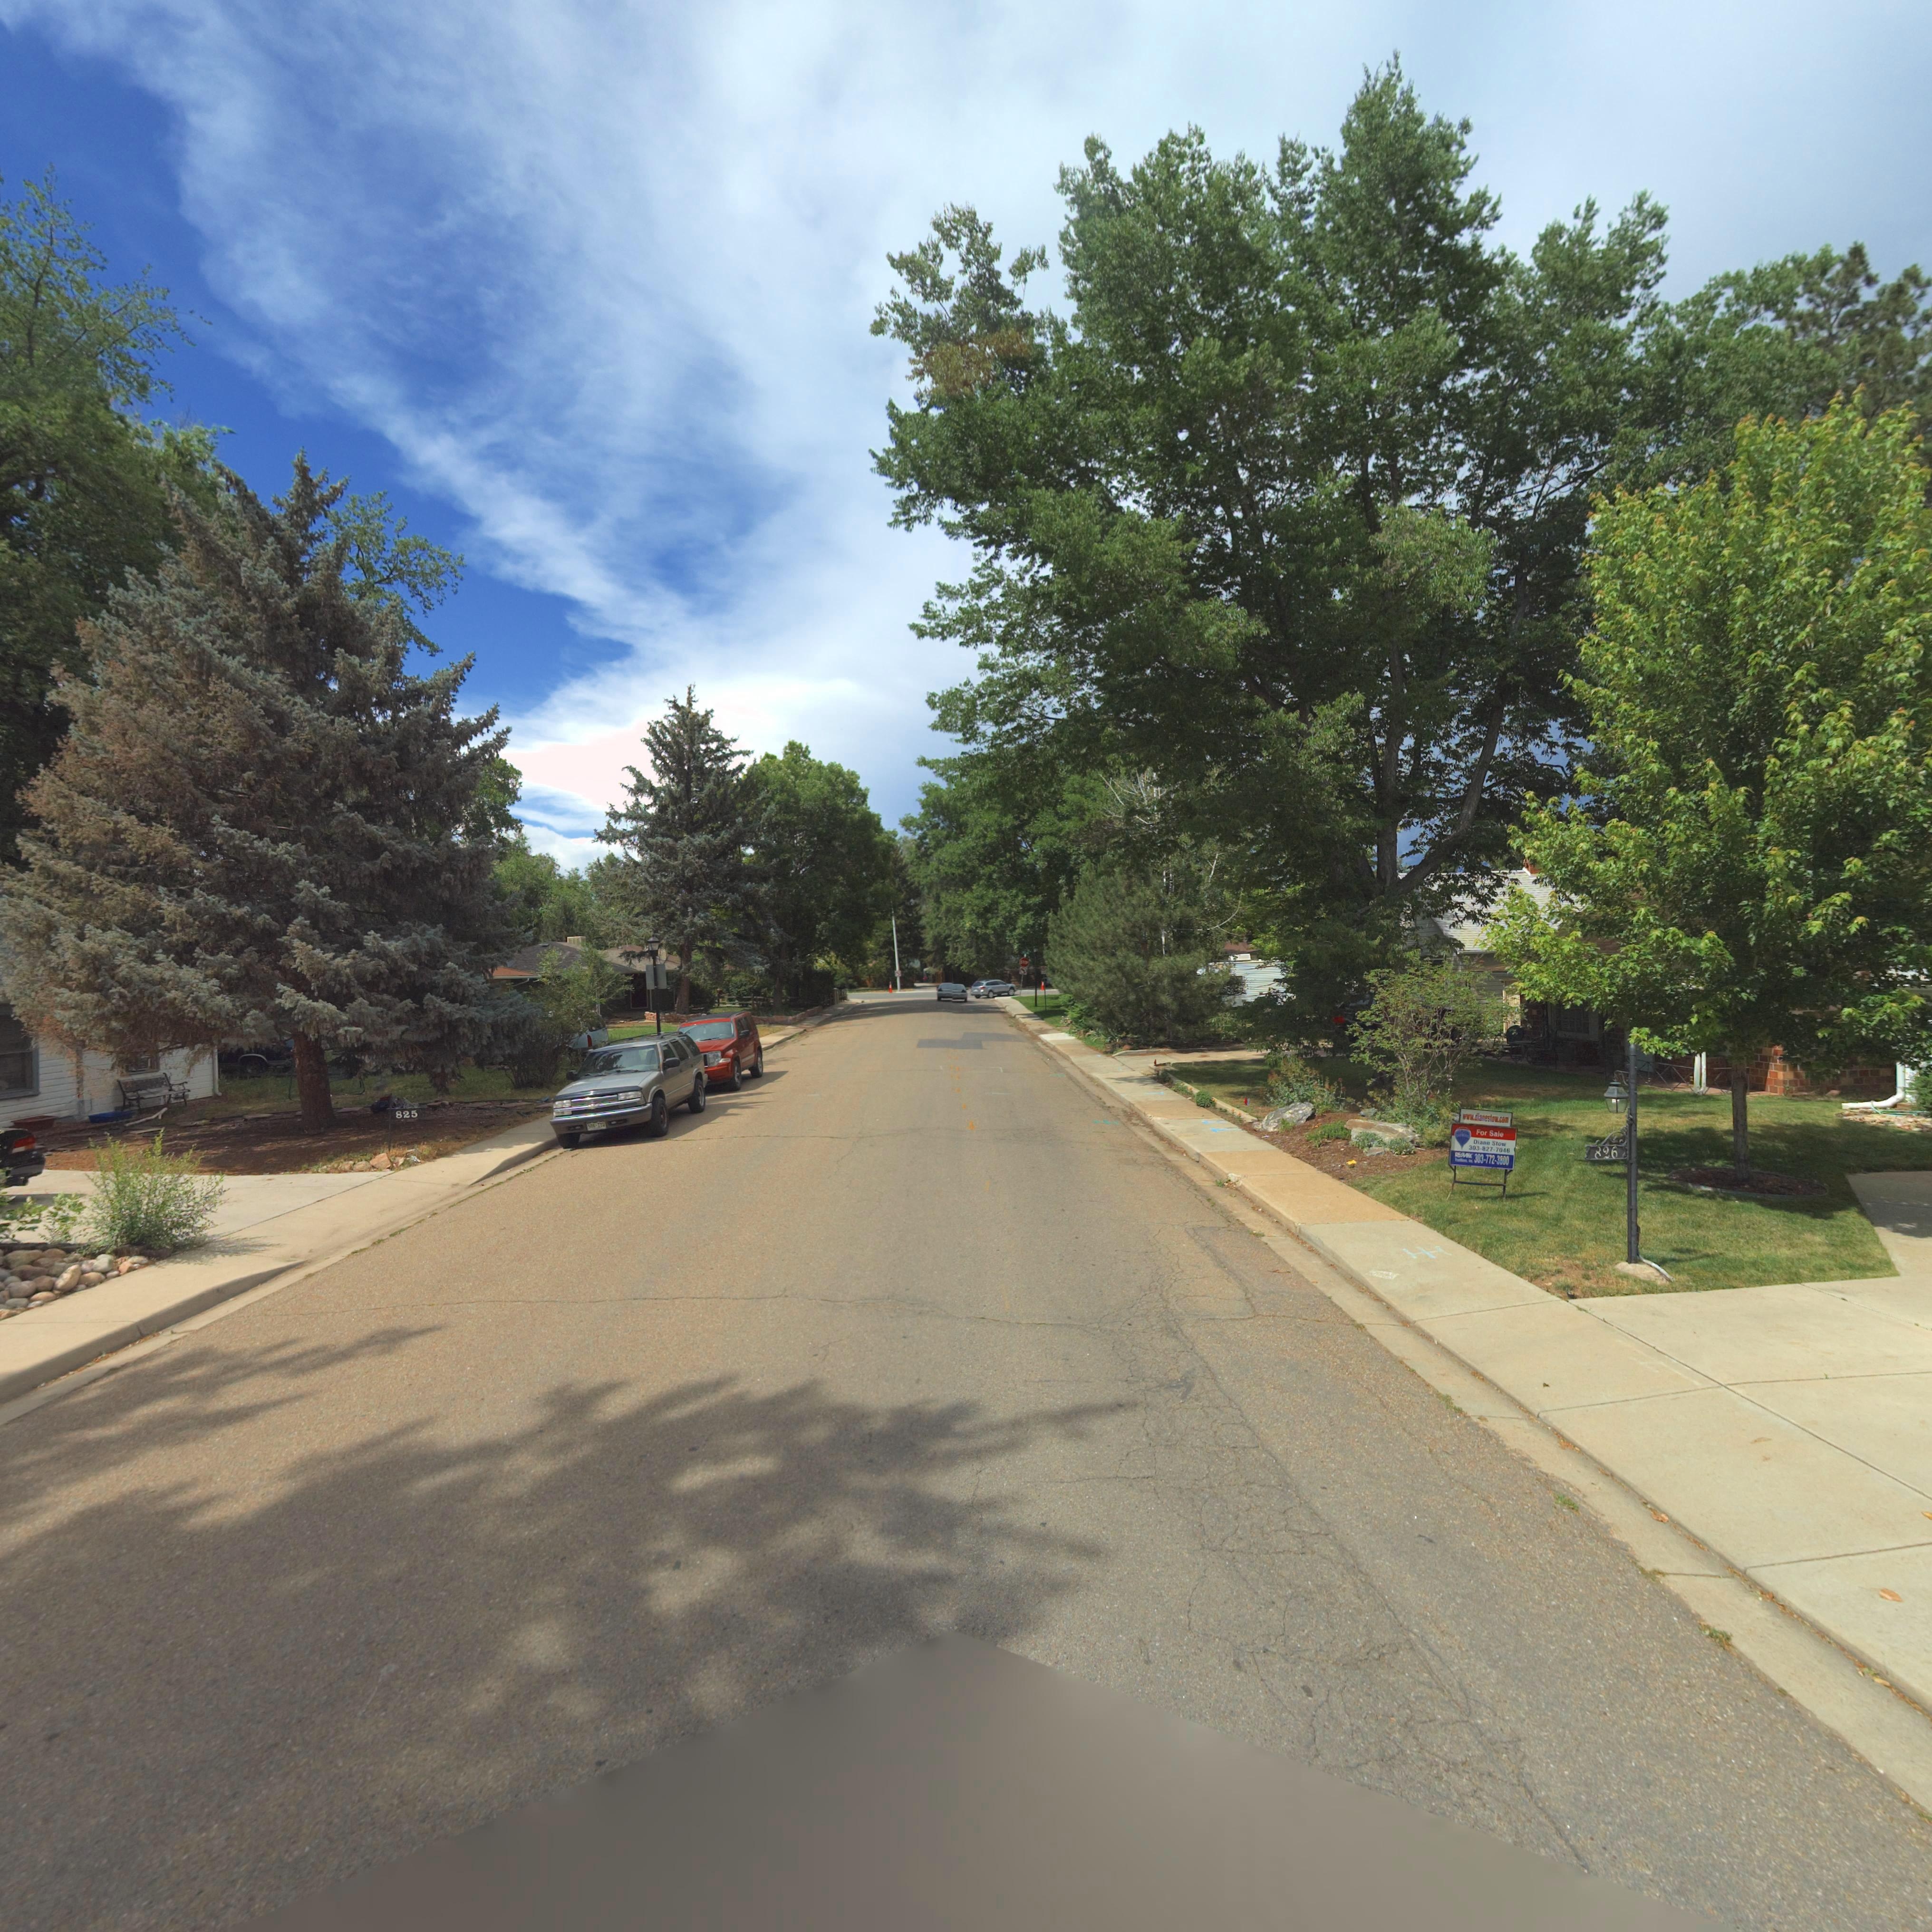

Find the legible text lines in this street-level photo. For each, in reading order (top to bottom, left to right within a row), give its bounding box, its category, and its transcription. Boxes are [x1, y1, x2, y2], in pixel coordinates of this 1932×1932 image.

[395, 1109, 418, 1119] StreetNumber: 825
[1593, 1145, 1618, 1160] StreetNumber: 826